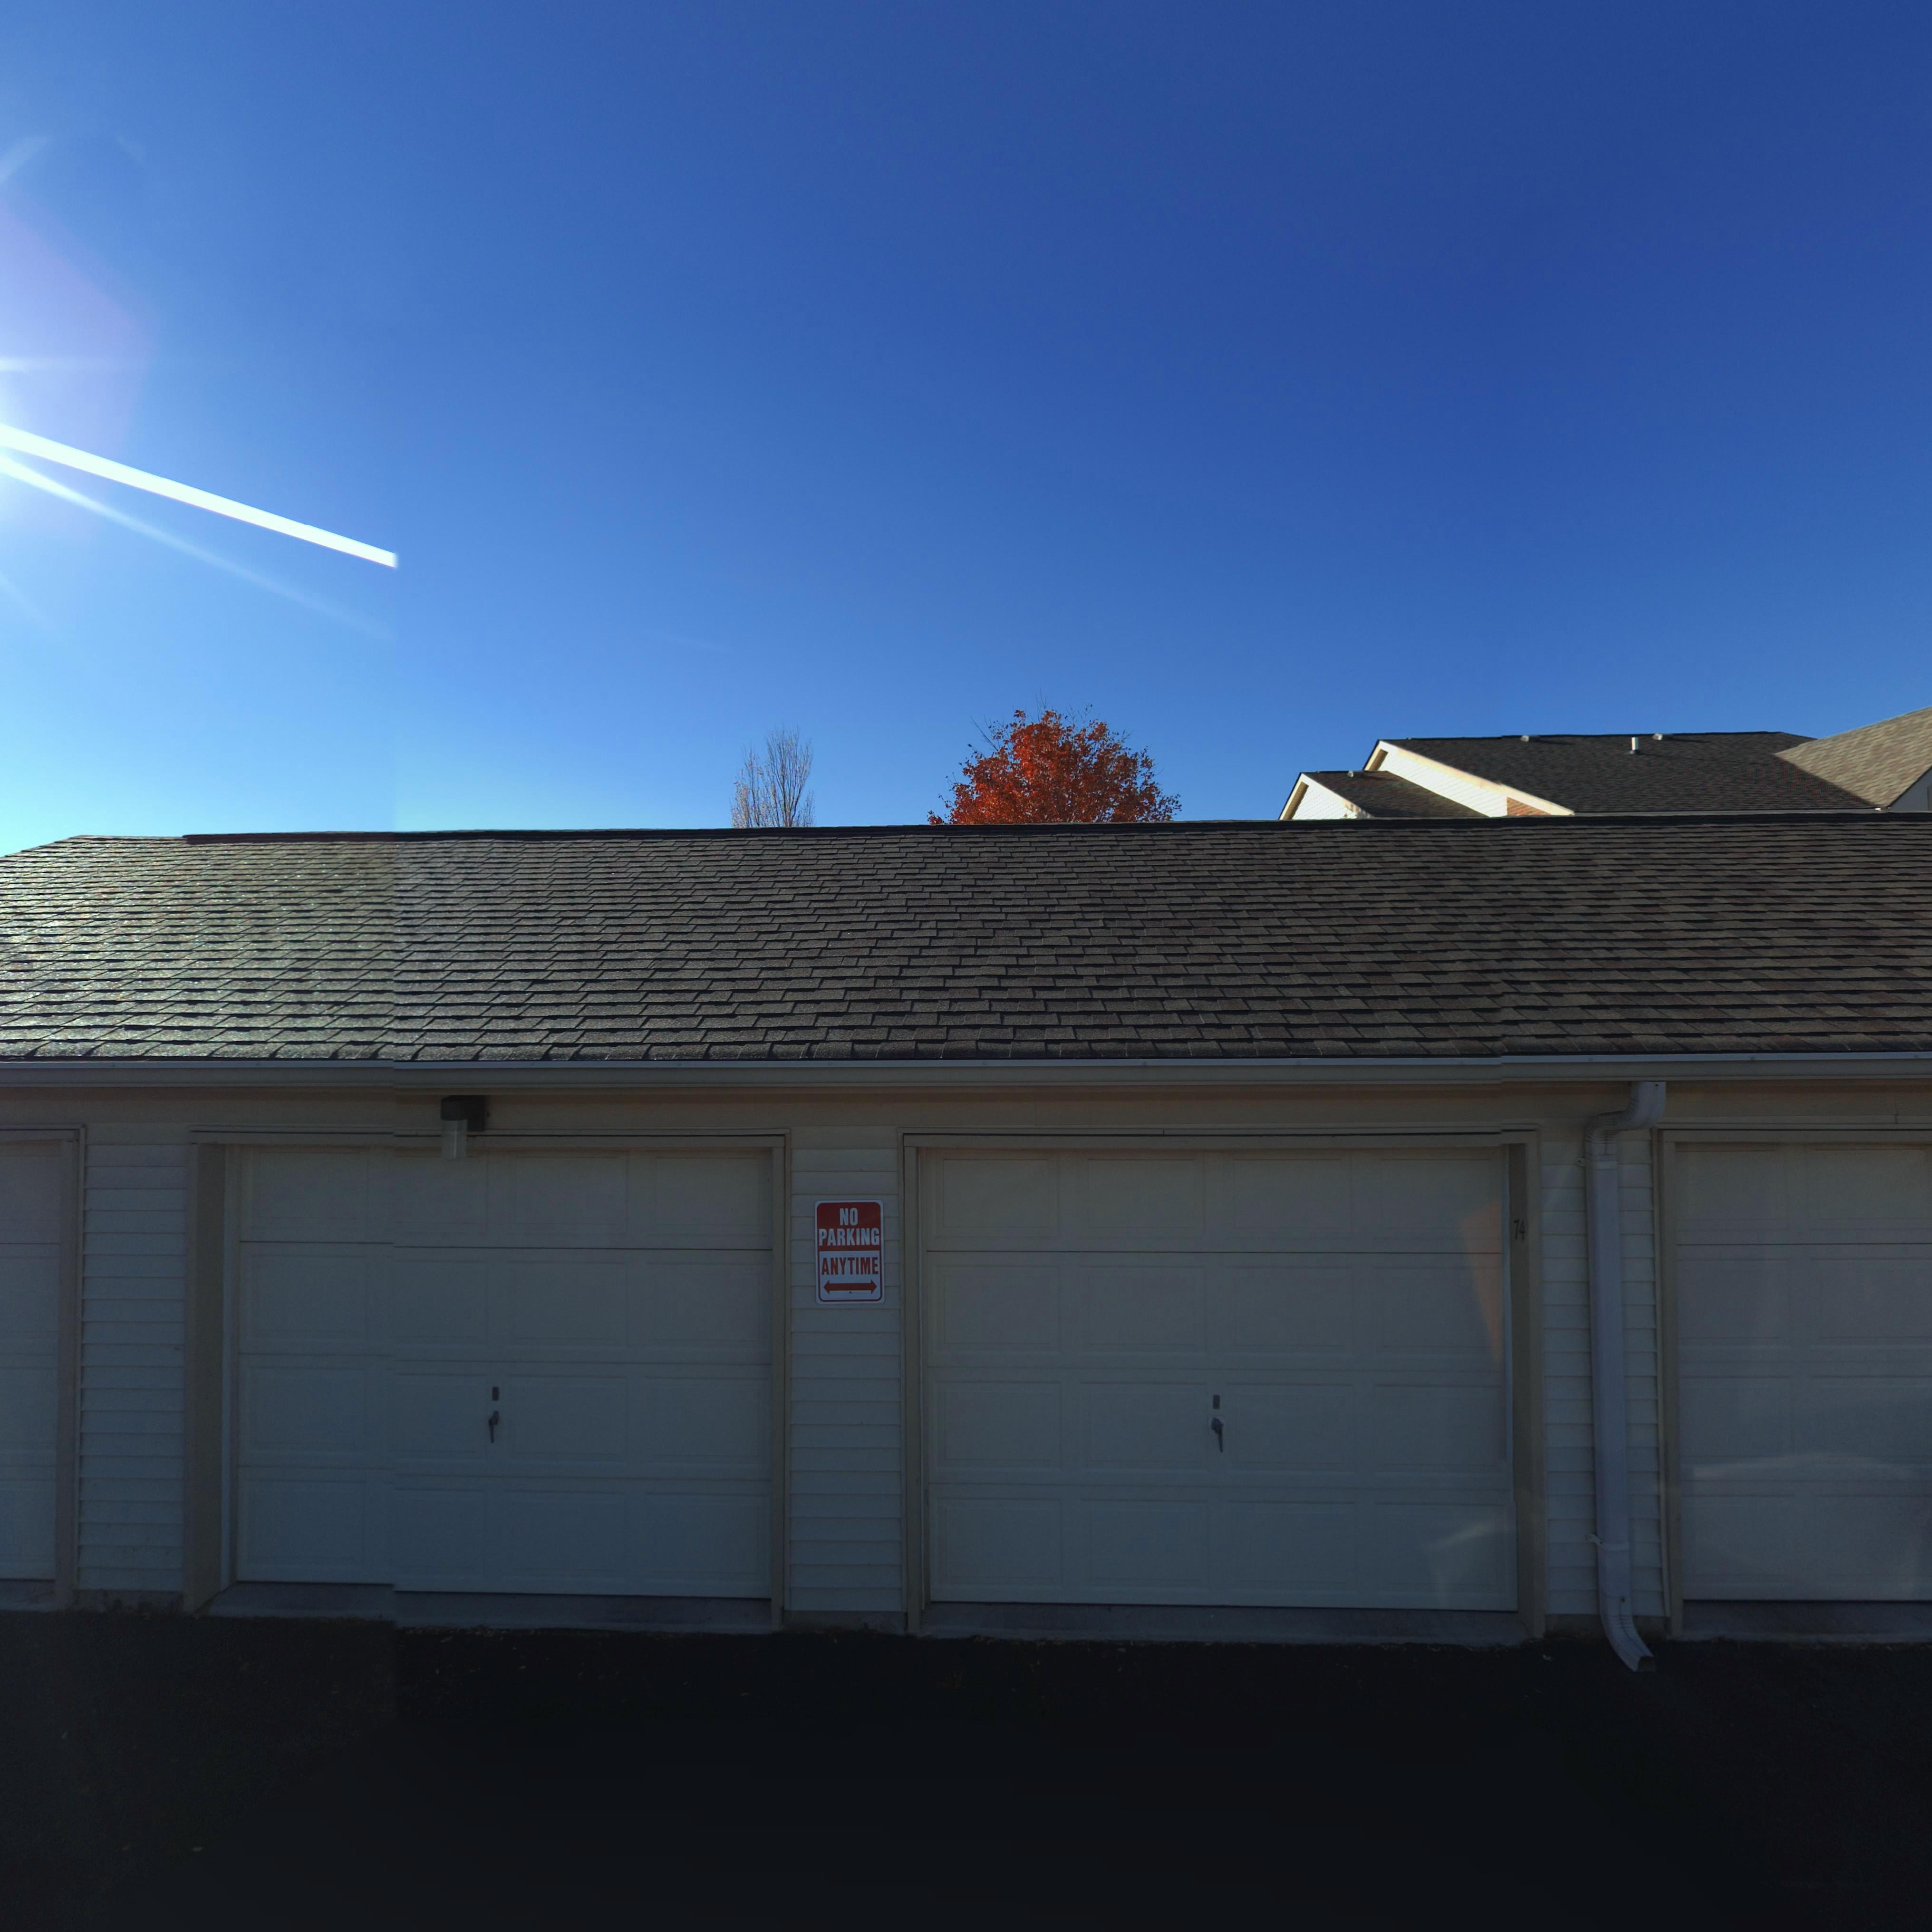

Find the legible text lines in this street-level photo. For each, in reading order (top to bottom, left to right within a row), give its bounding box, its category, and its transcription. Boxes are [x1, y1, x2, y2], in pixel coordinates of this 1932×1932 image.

[1512, 1217, 1526, 1241] StreetNumber: 74